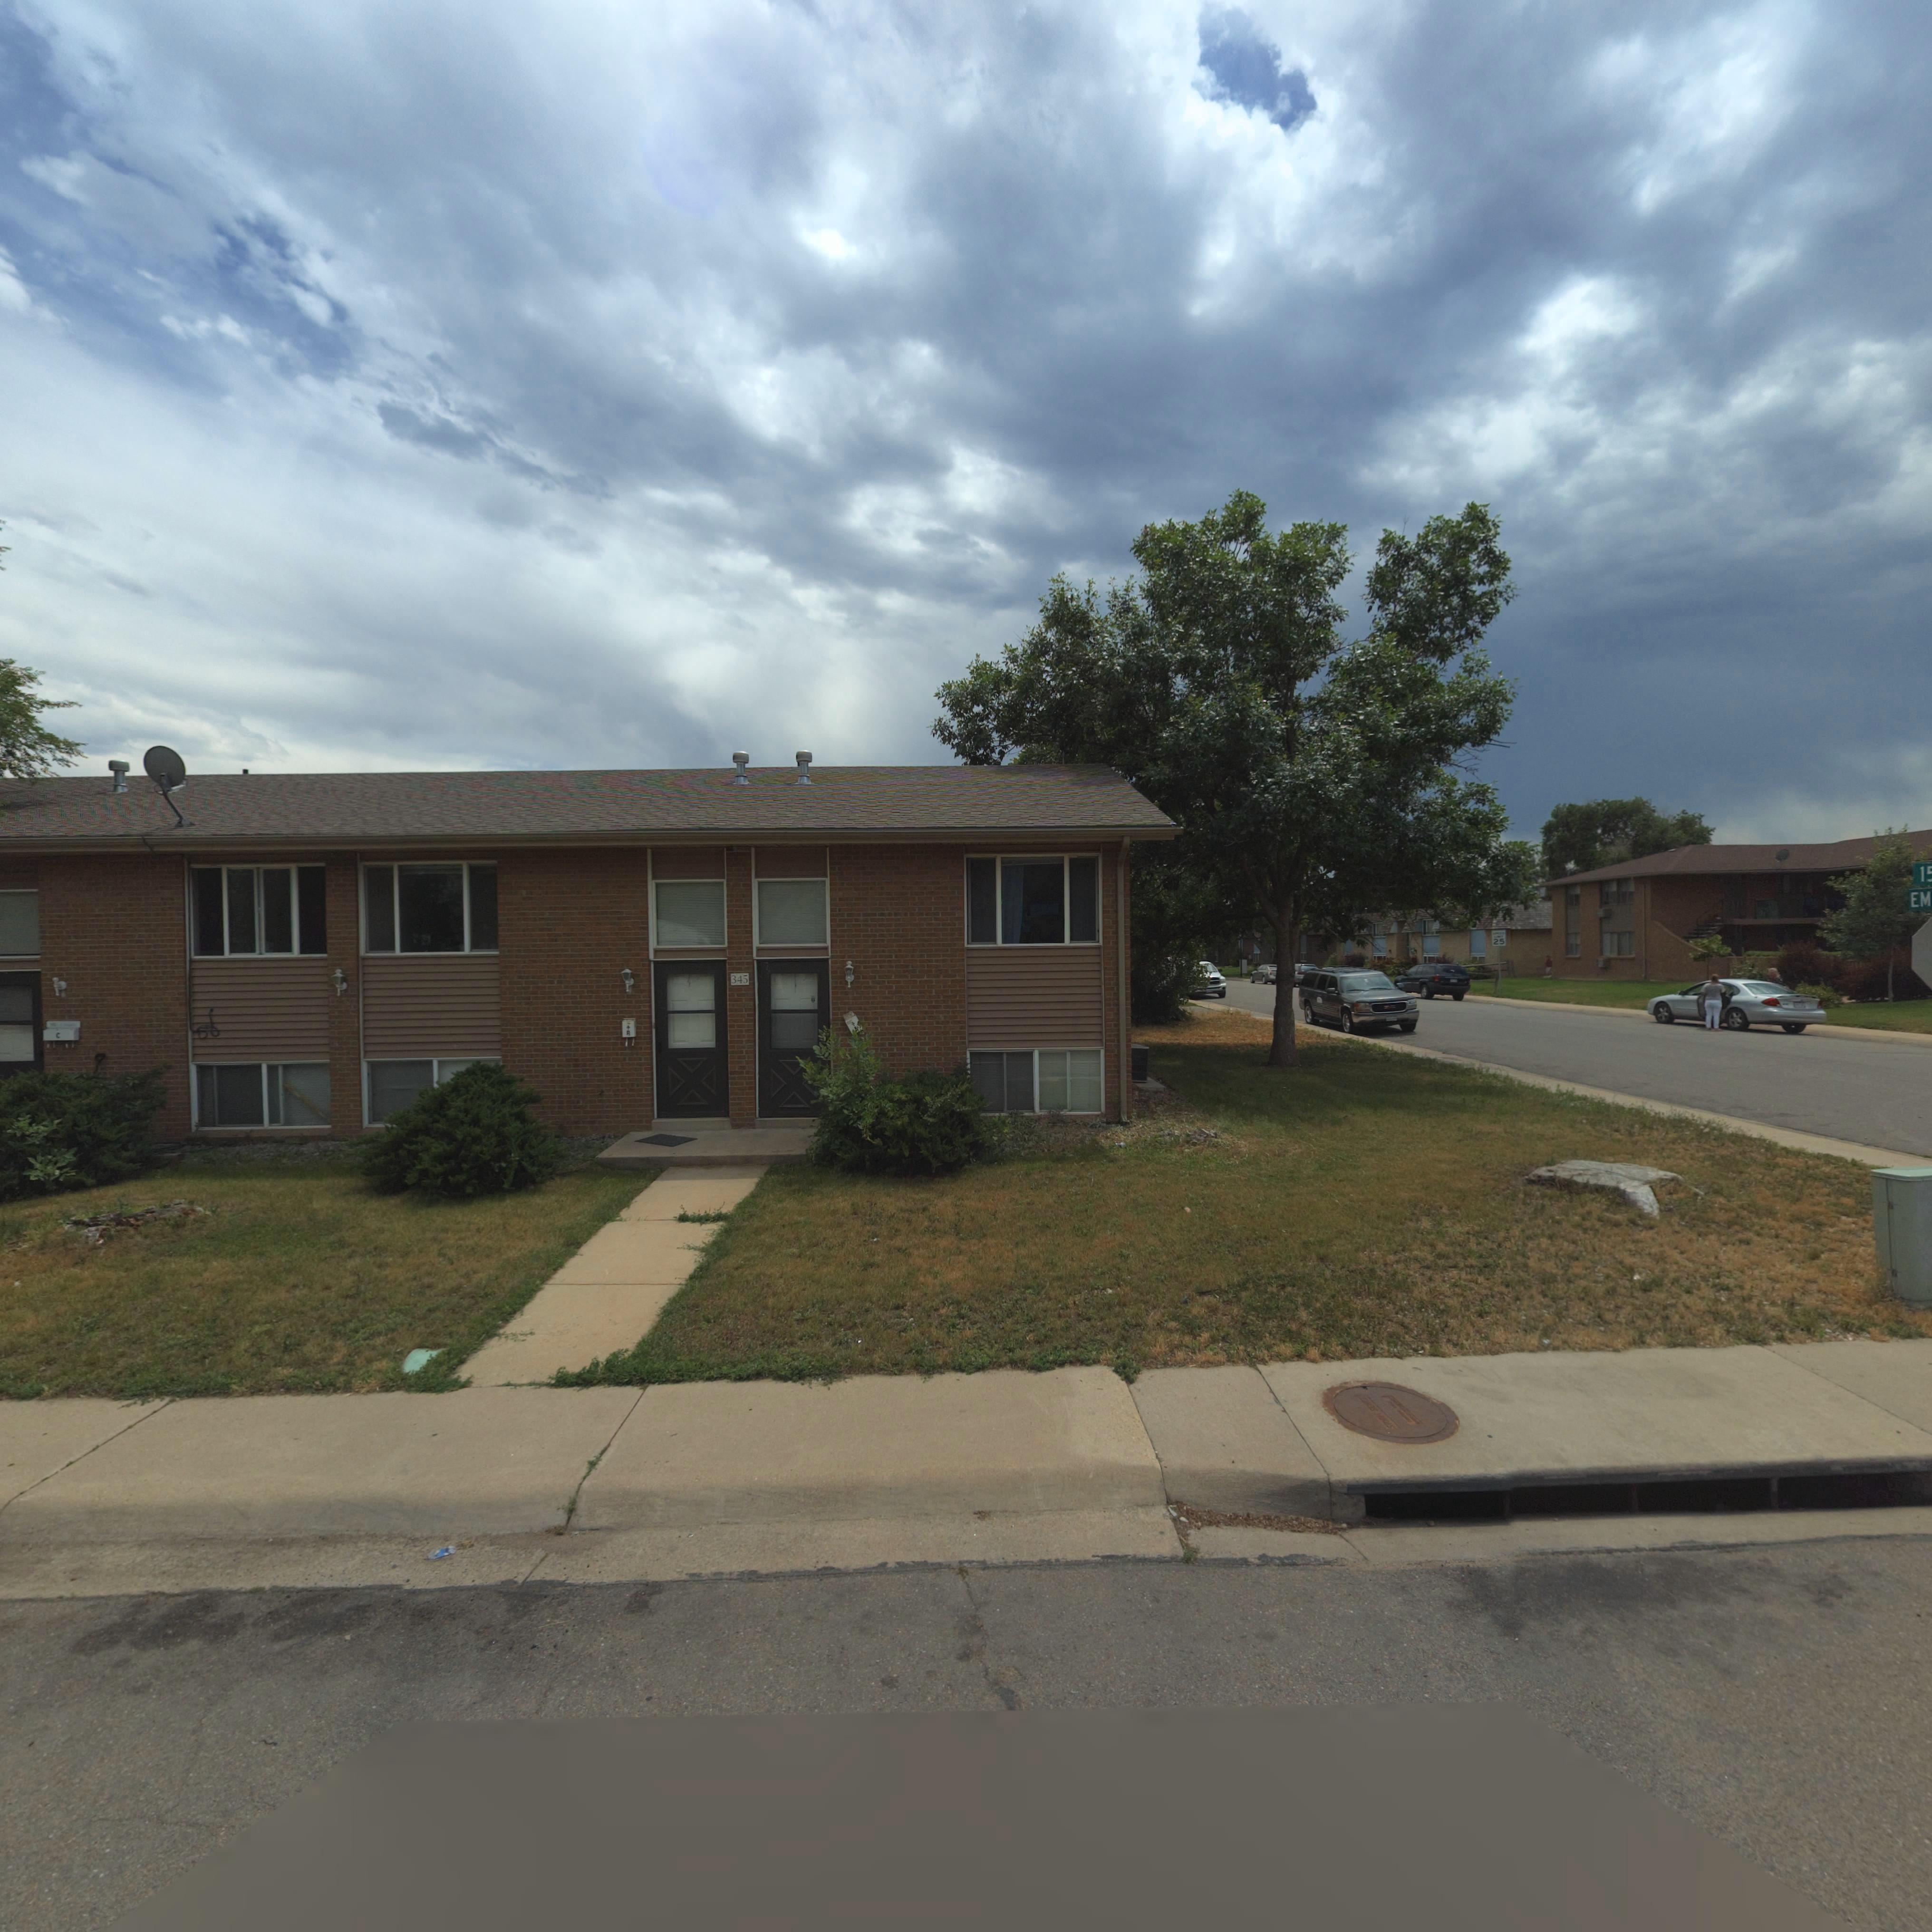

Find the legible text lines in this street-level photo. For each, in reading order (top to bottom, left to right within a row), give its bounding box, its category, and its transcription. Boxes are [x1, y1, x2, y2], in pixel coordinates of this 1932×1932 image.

[1919, 865, 1925, 883] StreetName: 1
[1909, 890, 1931, 908] StreetName: EM
[730, 974, 748, 984] StreetNumber: 345